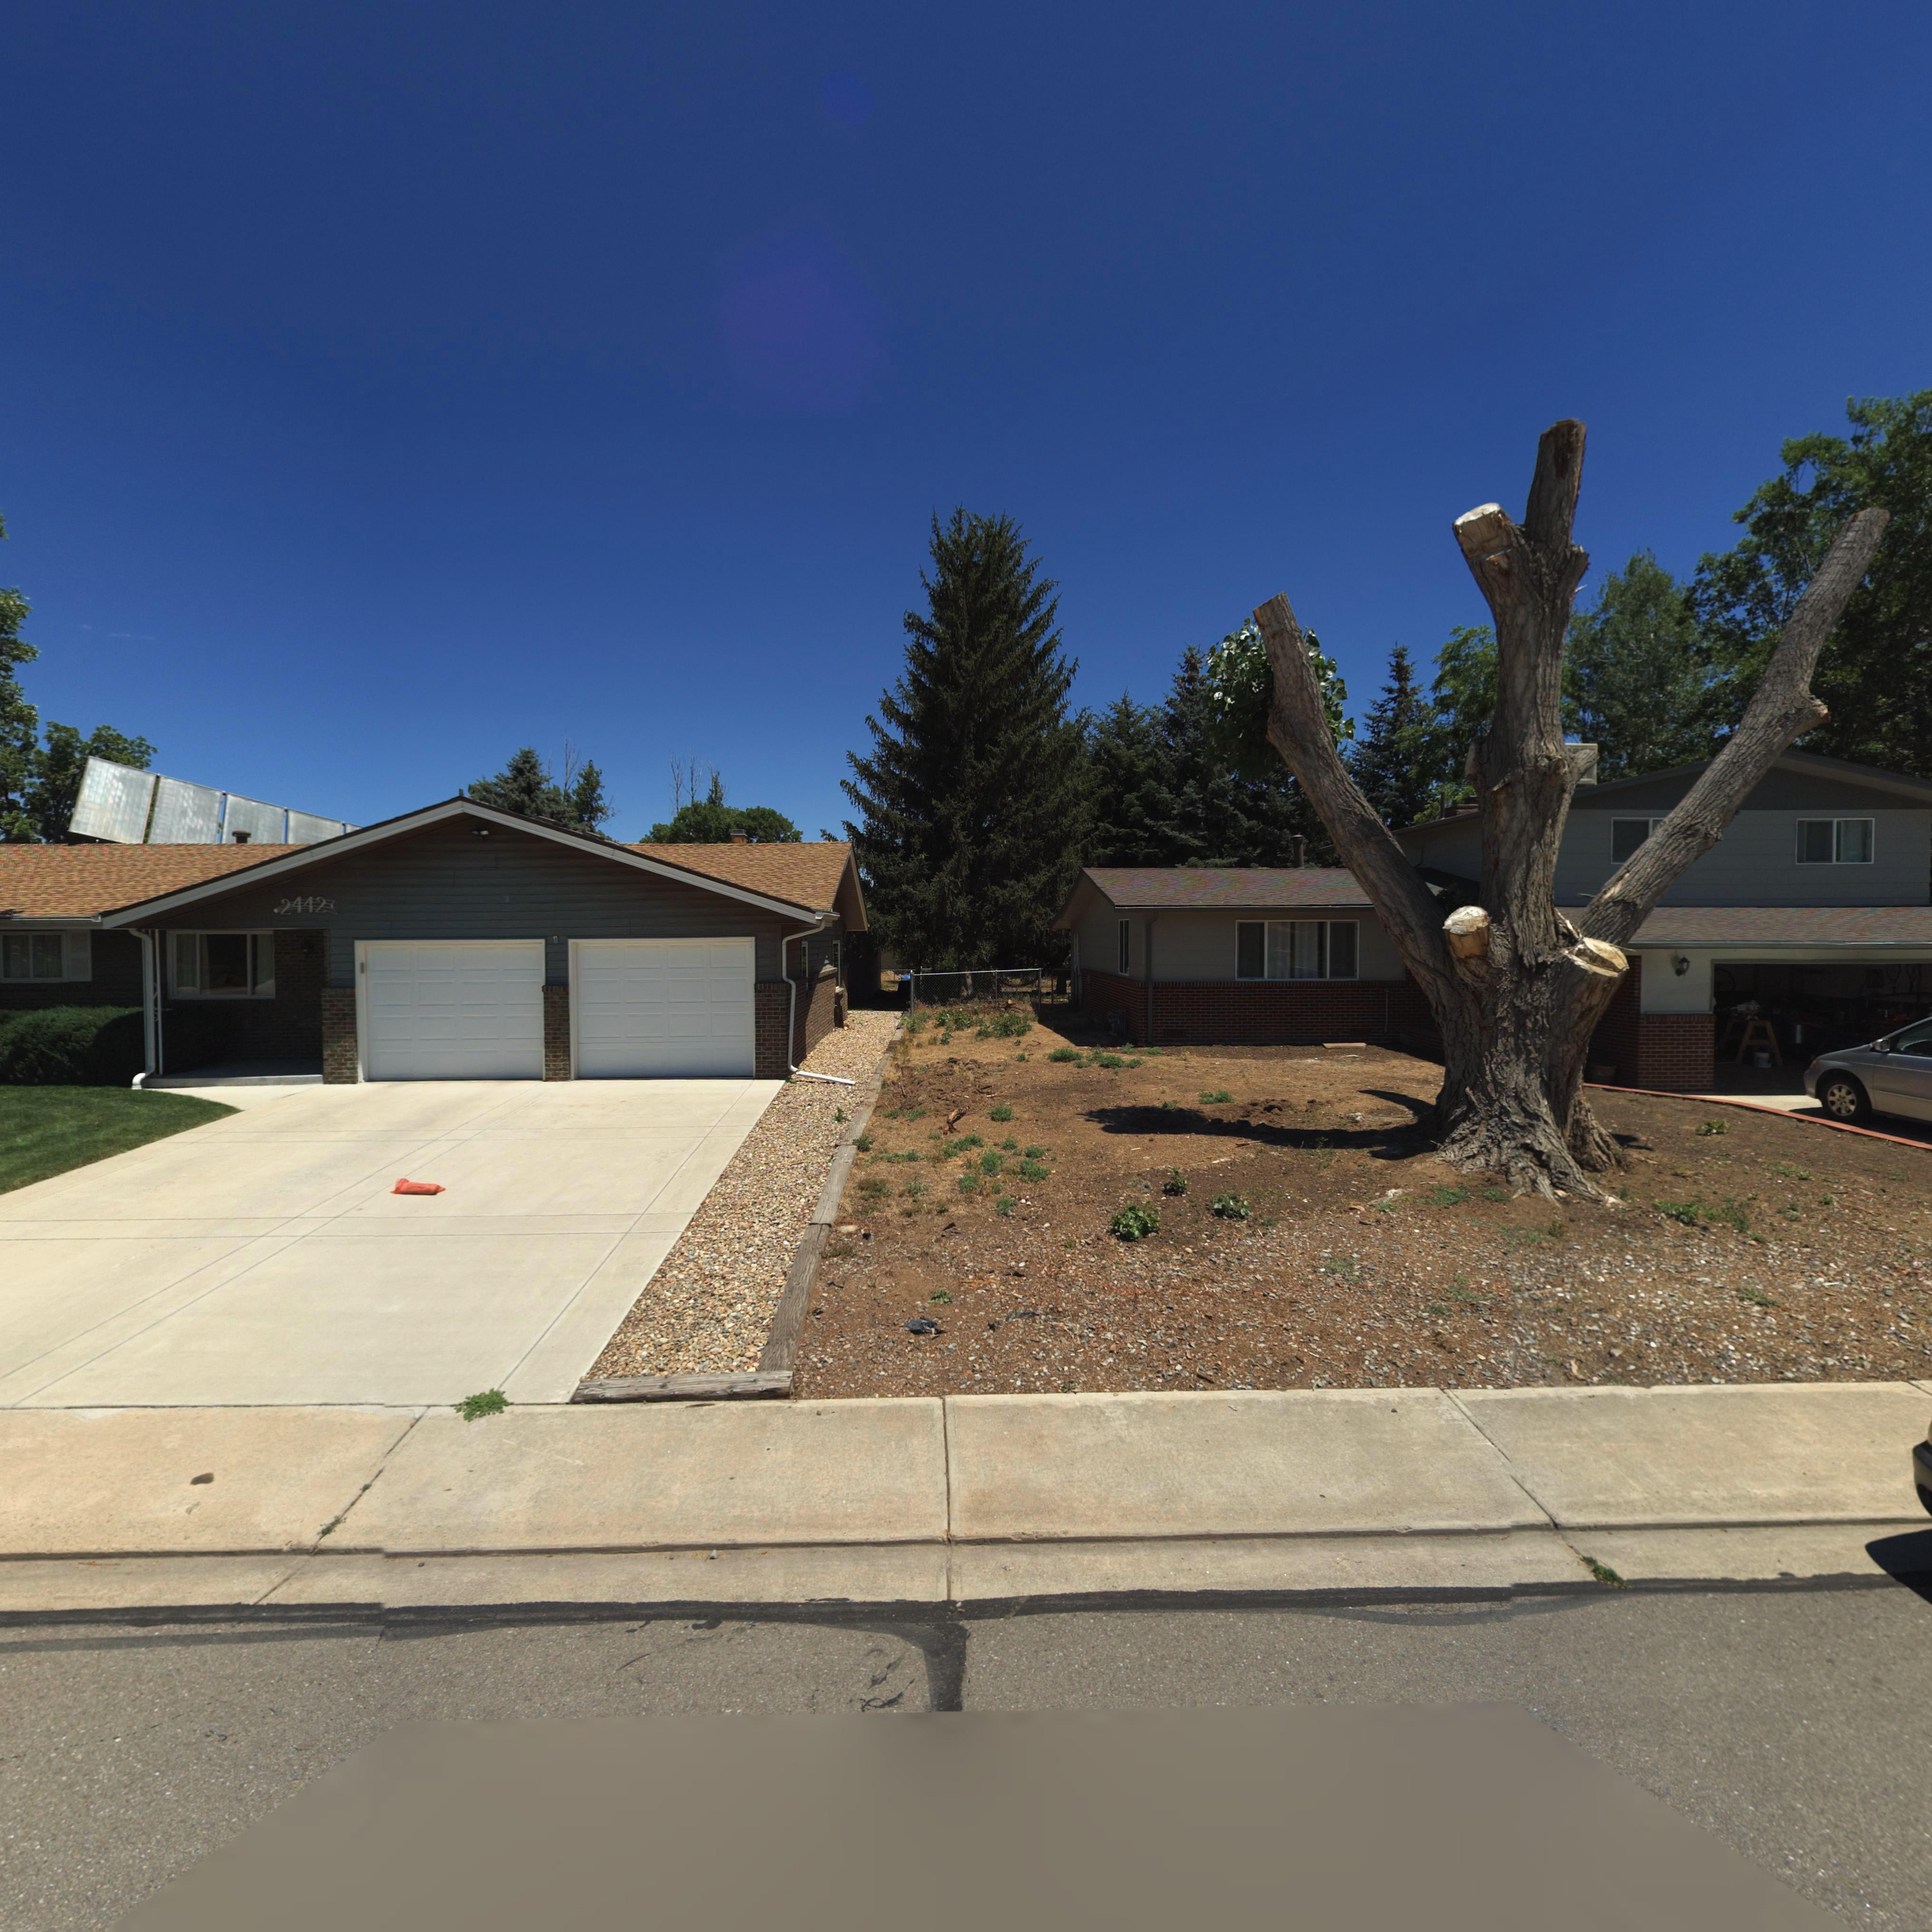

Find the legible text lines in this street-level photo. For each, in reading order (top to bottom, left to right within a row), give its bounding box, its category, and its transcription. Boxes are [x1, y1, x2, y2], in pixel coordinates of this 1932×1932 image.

[280, 896, 326, 915] StreetNumber: 2442